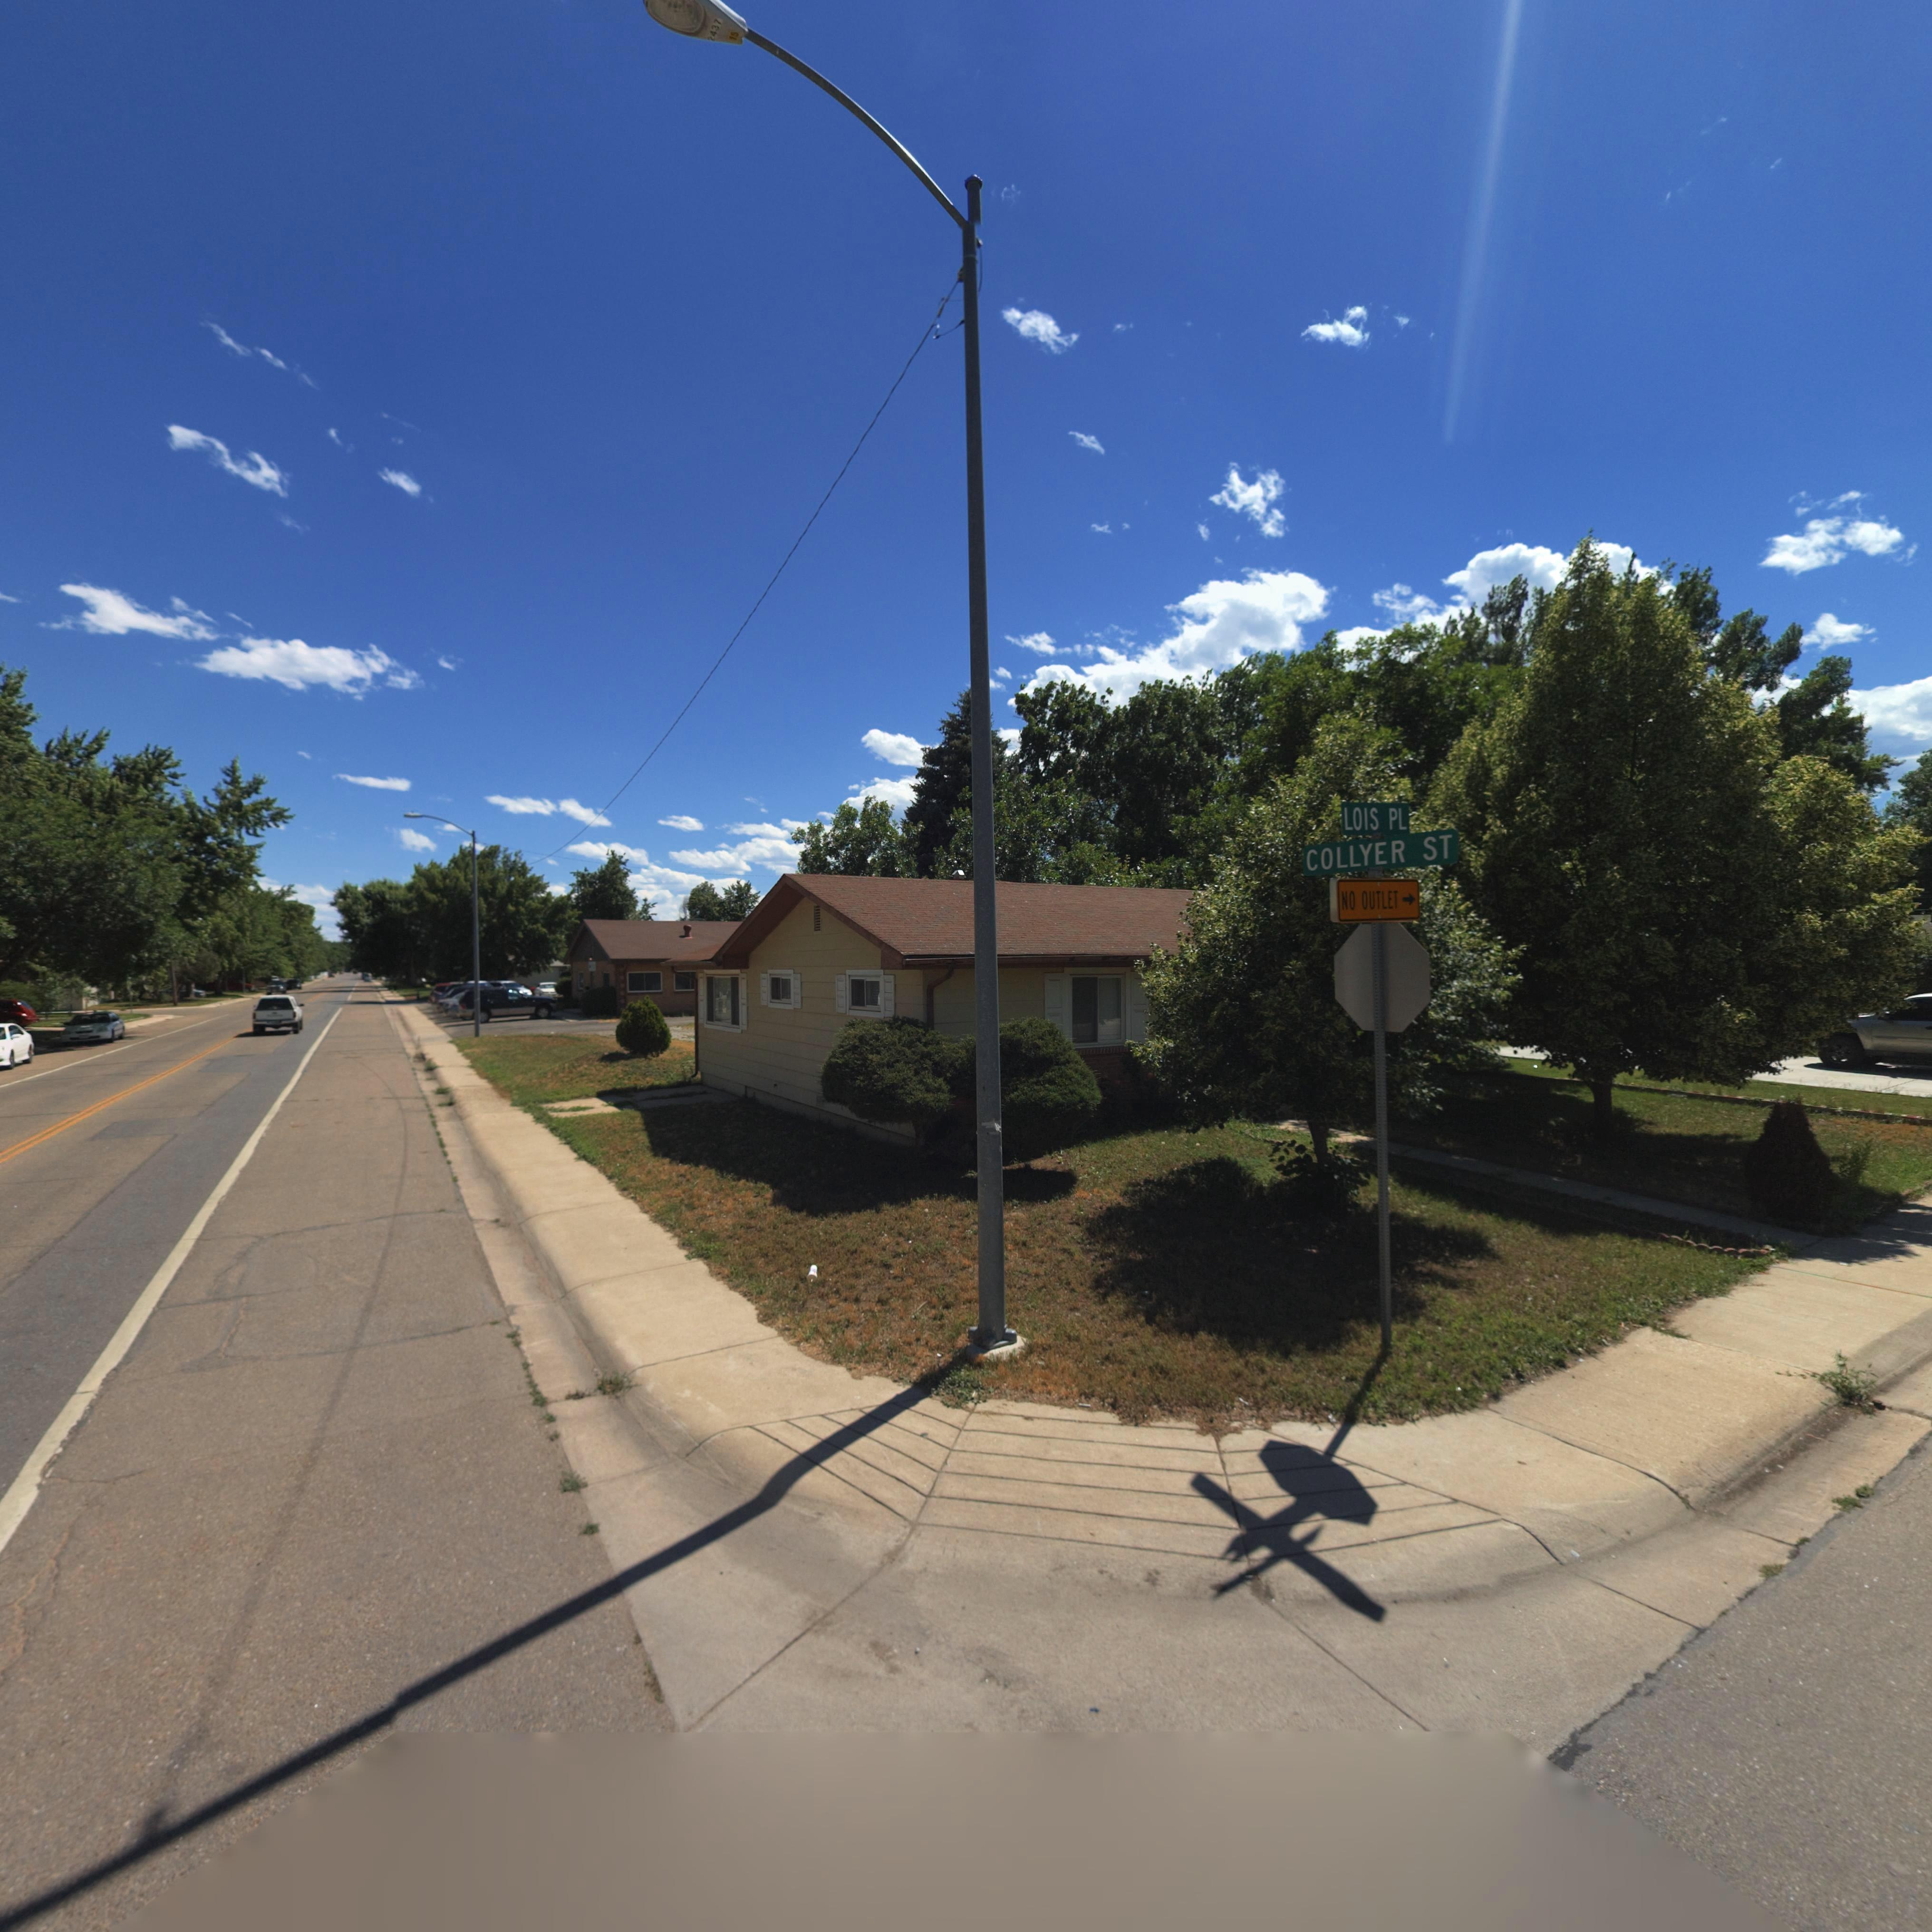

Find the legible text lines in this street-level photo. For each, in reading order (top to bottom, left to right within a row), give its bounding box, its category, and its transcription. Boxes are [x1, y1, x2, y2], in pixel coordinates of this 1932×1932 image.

[1344, 806, 1408, 831] StreetName: LOIS PL
[1305, 833, 1453, 871] StreetName: COLLYER ST